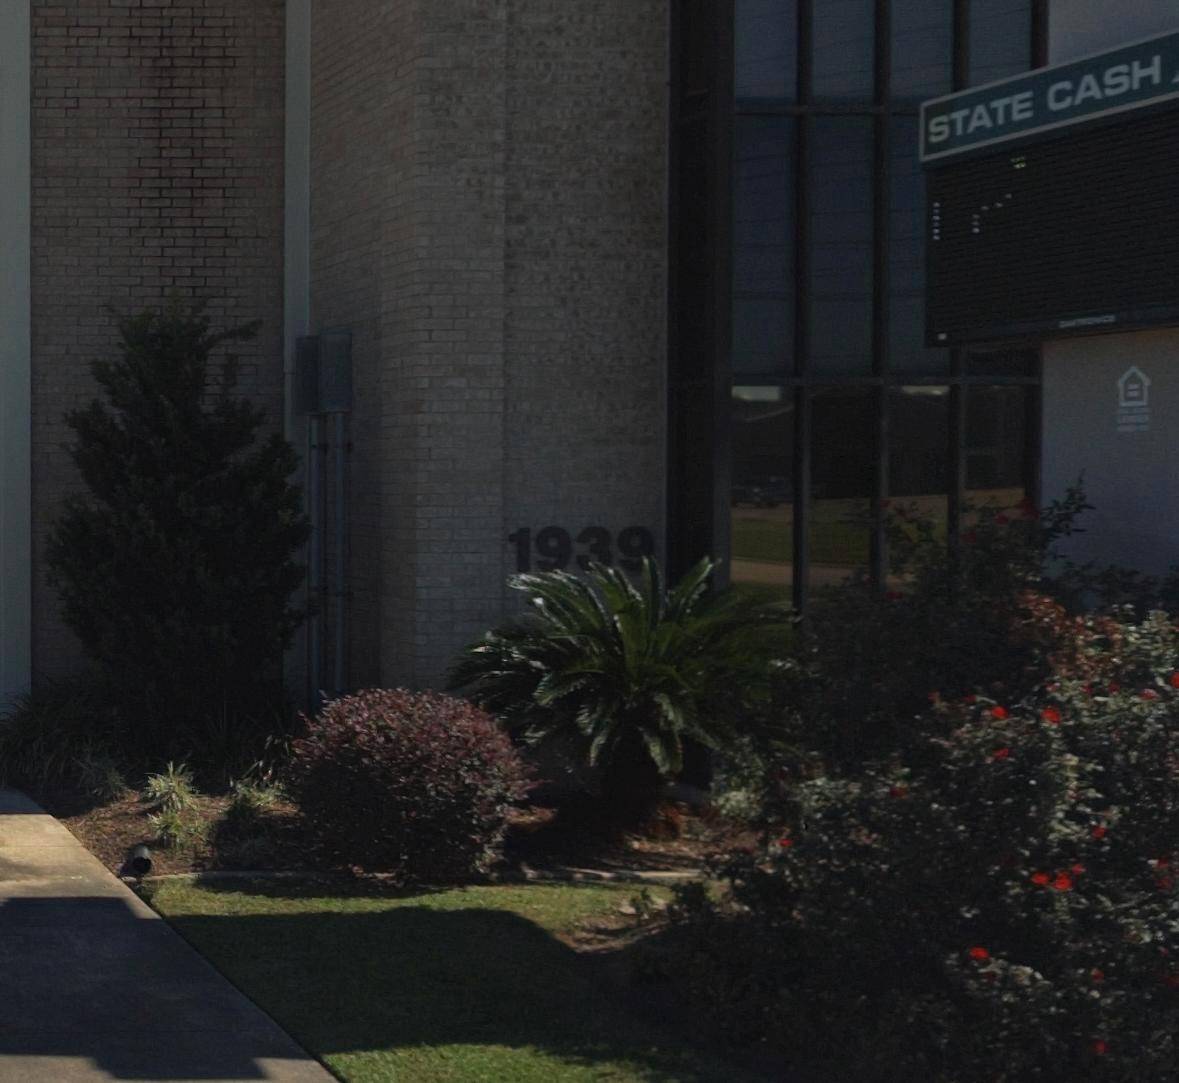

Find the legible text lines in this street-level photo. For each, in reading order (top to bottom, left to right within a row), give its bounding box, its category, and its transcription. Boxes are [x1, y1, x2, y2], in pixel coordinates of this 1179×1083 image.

[926, 51, 1163, 147] None: STATE CASH
[507, 524, 656, 576] StreetNumber: 1939